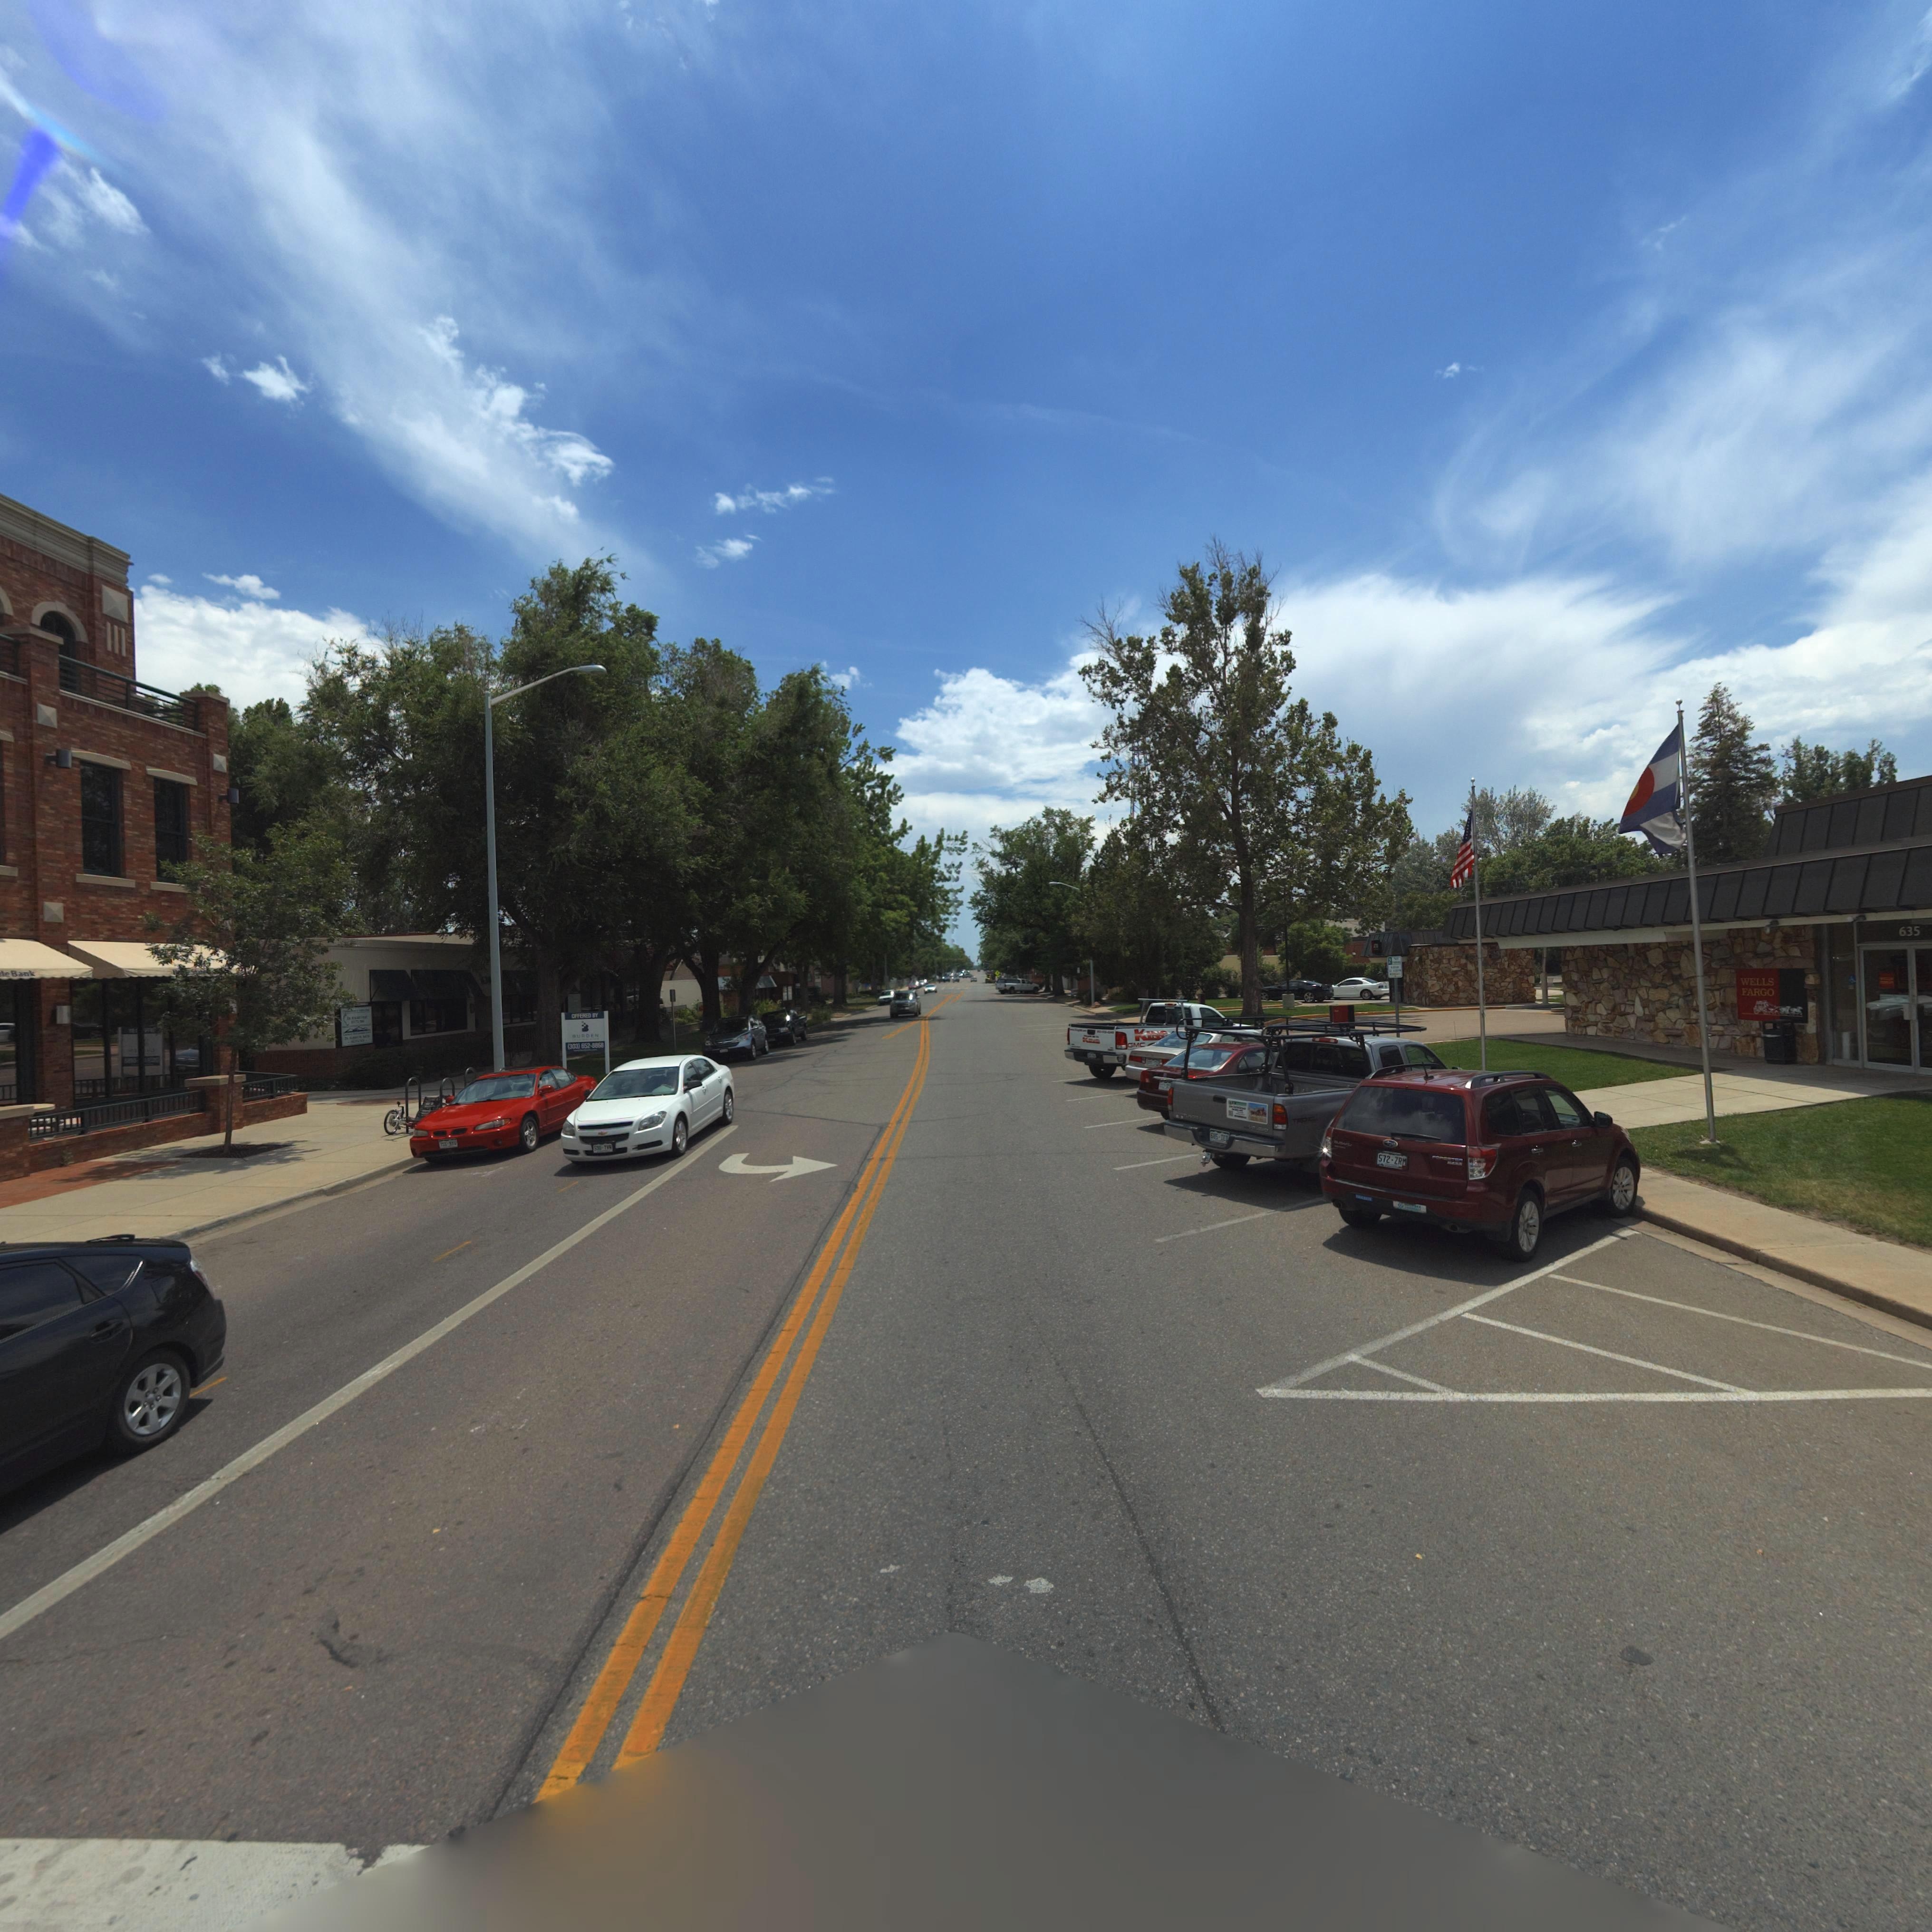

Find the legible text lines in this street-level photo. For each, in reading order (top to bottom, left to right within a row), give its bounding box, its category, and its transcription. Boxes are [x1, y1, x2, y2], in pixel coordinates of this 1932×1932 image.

[1898, 926, 1921, 937] StreetNumber: 635
[1, 969, 35, 977] BusinessName: te Bank
[480, 975, 492, 985] StreetNumber: 6**
[1740, 977, 1776, 986] BusinessName: WELLS
[1741, 987, 1775, 996] BusinessName: FARGO